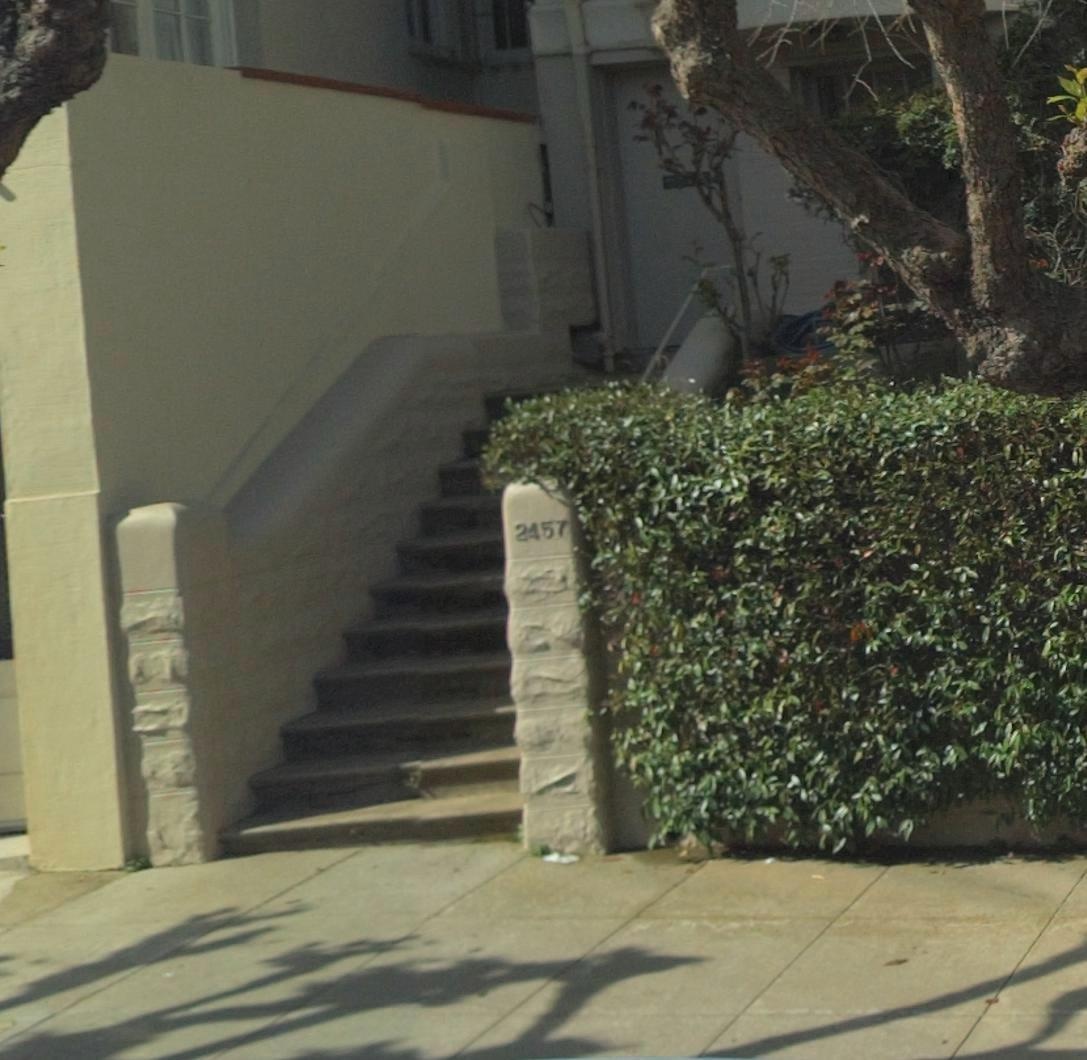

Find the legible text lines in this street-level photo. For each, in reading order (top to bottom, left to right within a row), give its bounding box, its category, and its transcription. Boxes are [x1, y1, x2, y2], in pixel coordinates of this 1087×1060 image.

[513, 517, 569, 545] StreetNumber: 2457